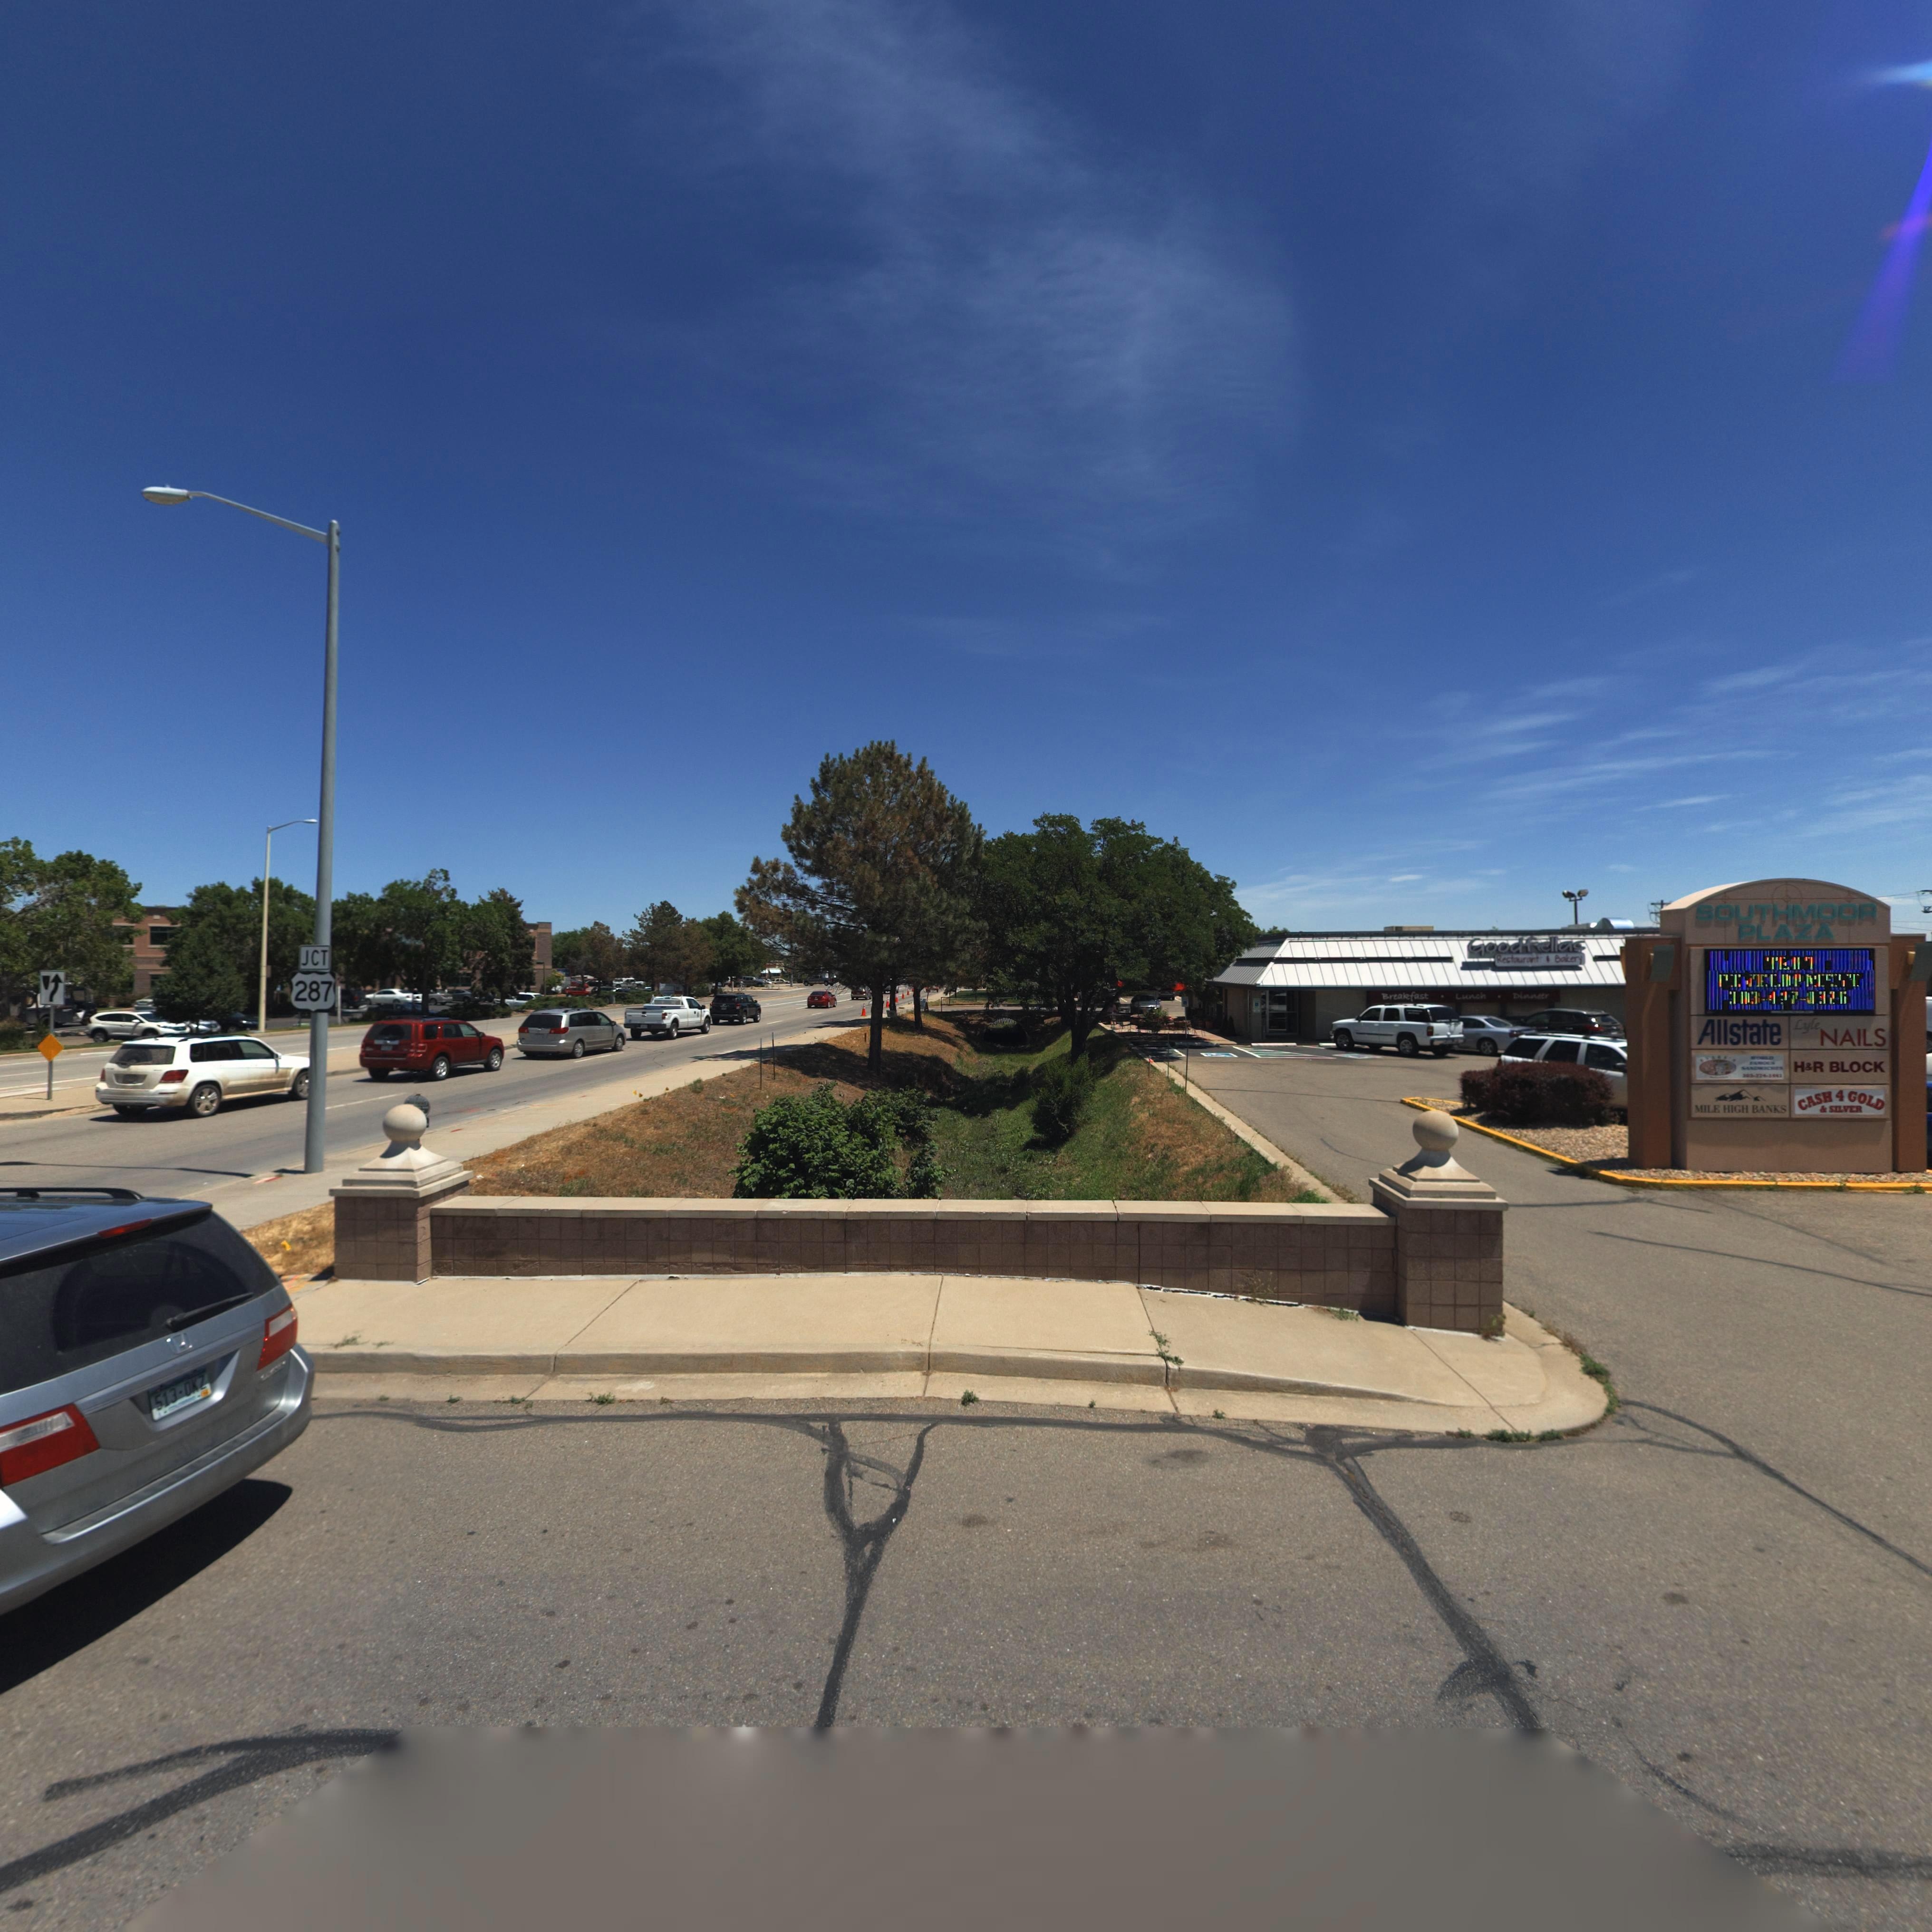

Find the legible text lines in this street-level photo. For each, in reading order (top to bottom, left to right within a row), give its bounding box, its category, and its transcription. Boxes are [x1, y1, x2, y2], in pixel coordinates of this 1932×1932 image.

[1466, 936, 1586, 956] BusinessName: Goodfellas
[1496, 953, 1582, 965] BusinessName: Restaurant * Bakery
[1696, 1019, 1781, 1045] BusinessName: Allstate
[1791, 1016, 1820, 1034] BusinessName: Lyle
[1819, 1027, 1887, 1047] BusinessName: NAILS
[1793, 1060, 1885, 1073] BusinessName: H&R BLOCK
[1693, 1104, 1787, 1114] BusinessName: MILE HIGH BANKS
[1819, 1104, 1862, 1113] BusinessName: * SILVER
[1797, 1089, 1885, 1111] BusinessName: CASH 4 GOLD